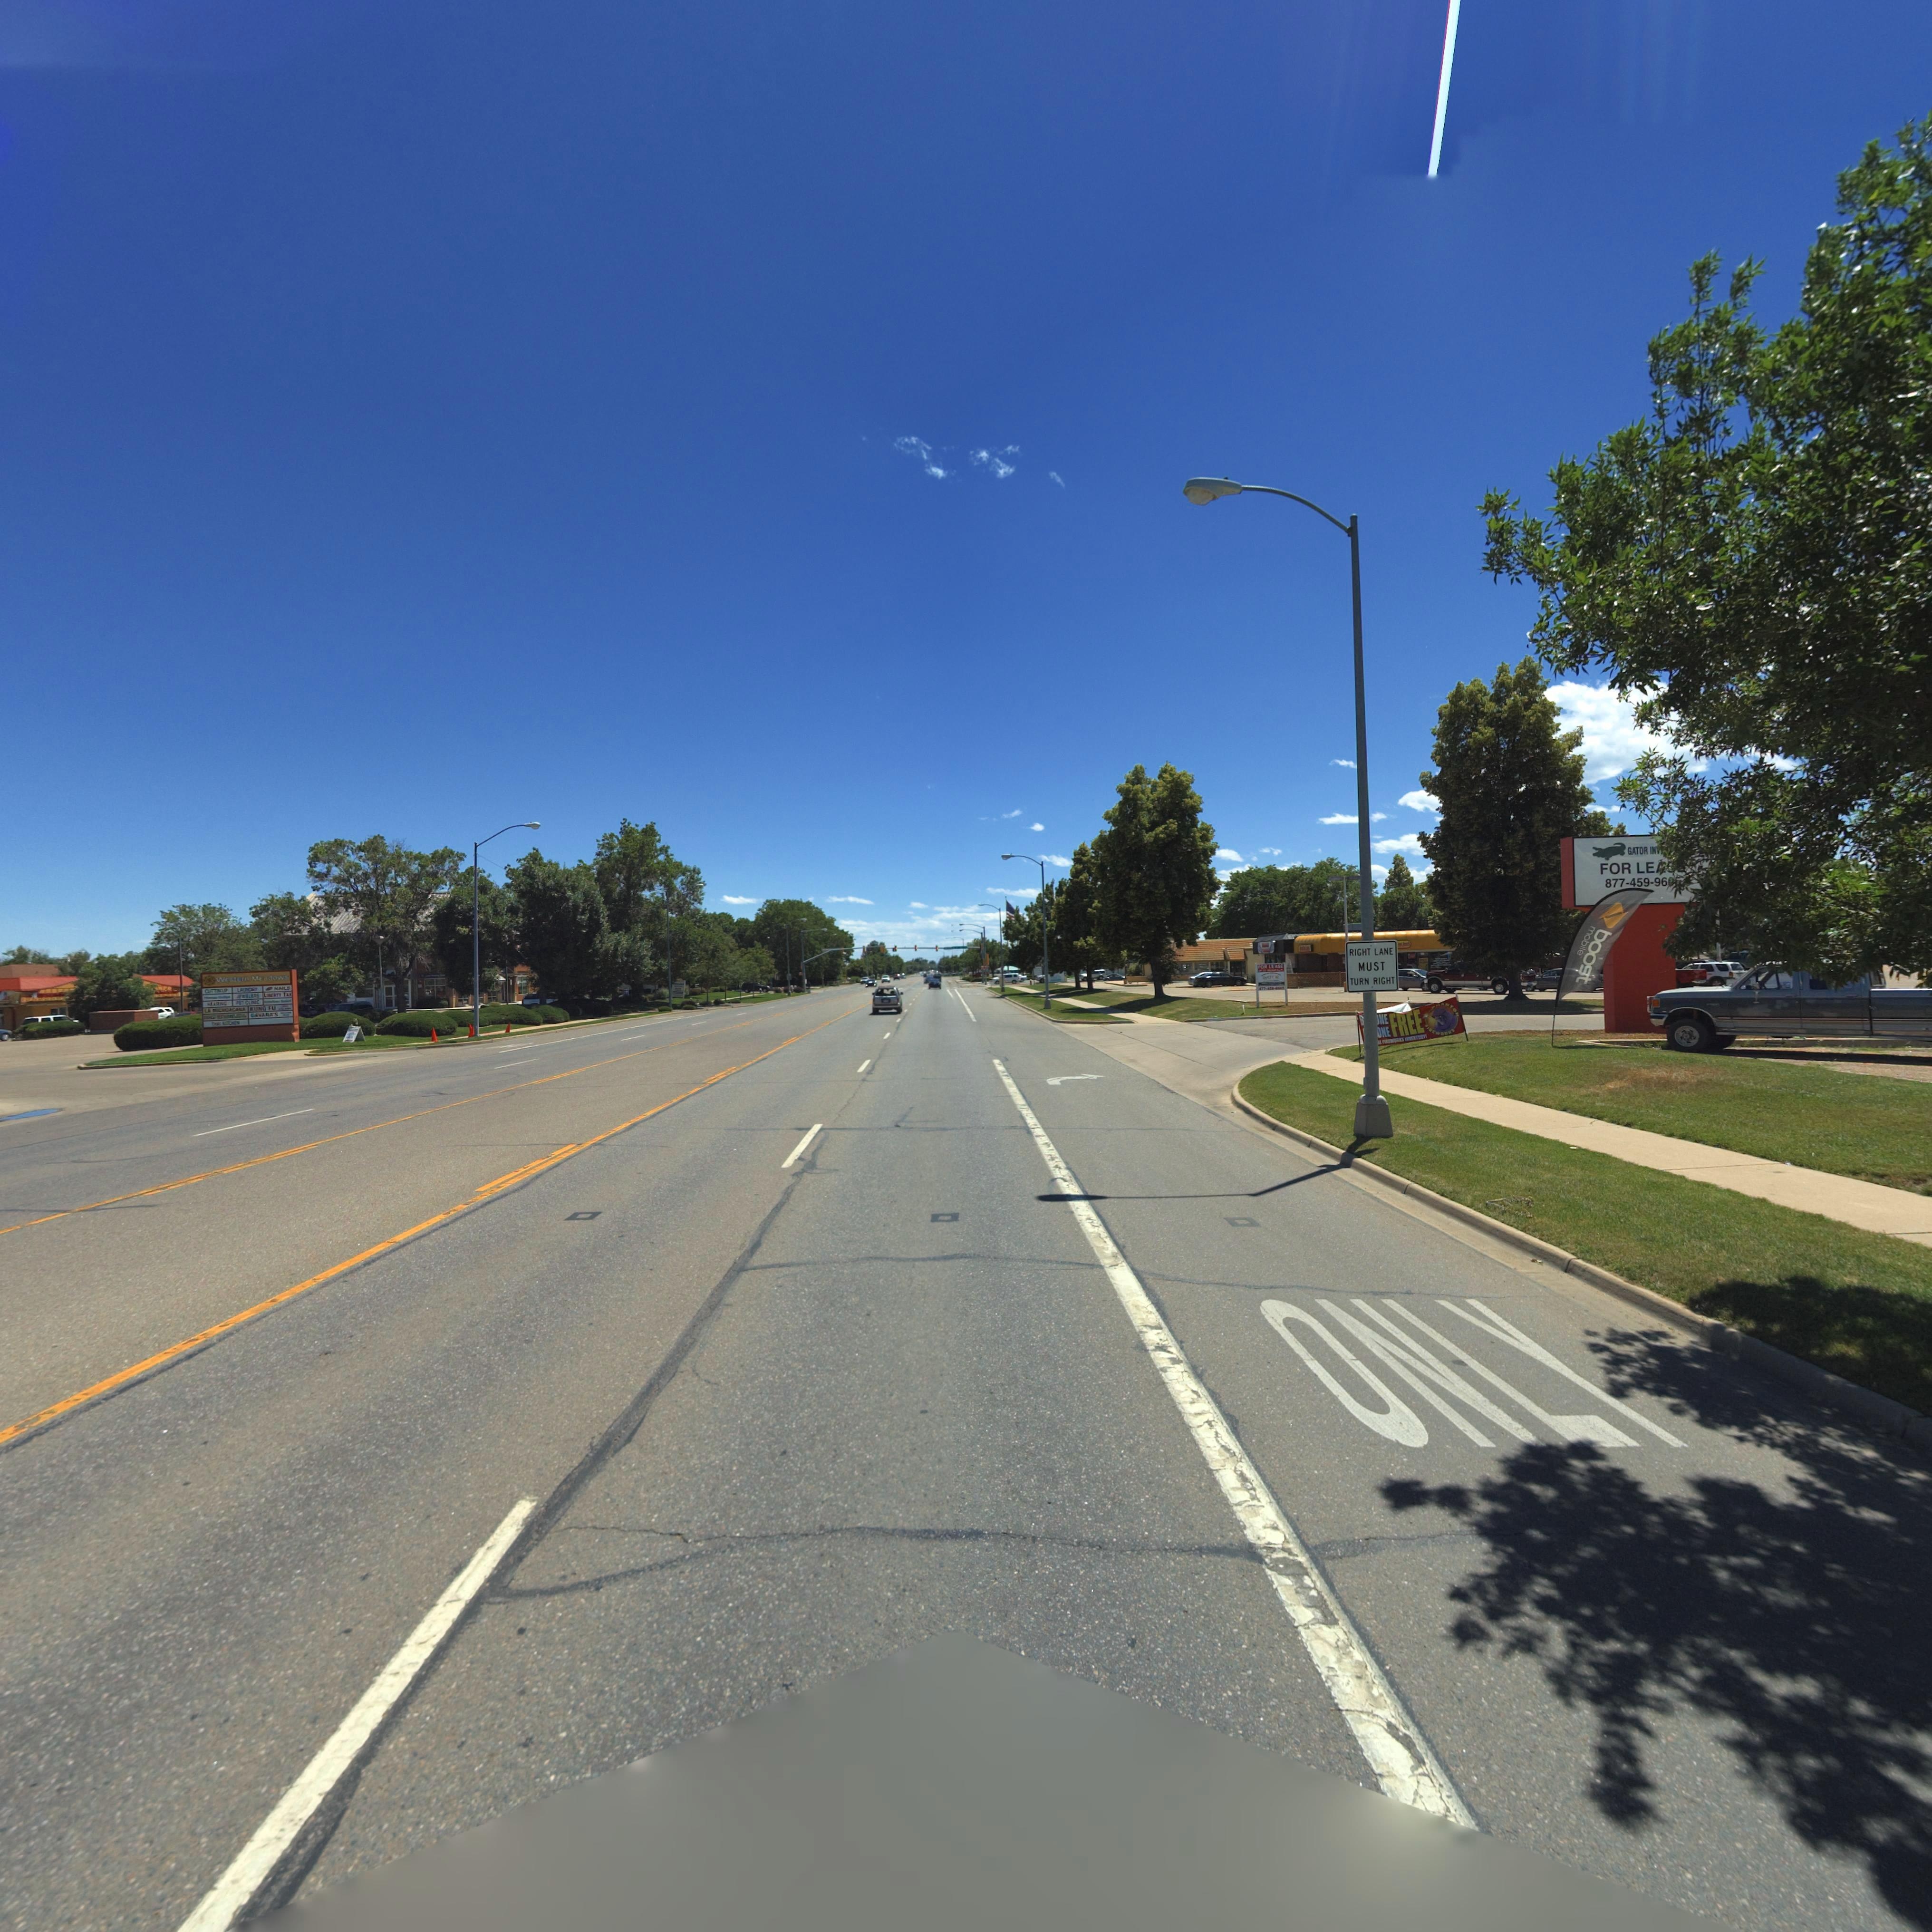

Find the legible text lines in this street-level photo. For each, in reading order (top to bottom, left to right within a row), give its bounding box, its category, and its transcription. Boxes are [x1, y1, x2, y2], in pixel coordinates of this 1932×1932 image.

[1398, 941, 1410, 947] BusinessName: ** J***
[263, 991, 291, 997] BusinessName: L***RT* TAX
[250, 1012, 278, 1017] BusinessName: G*VA*A*S